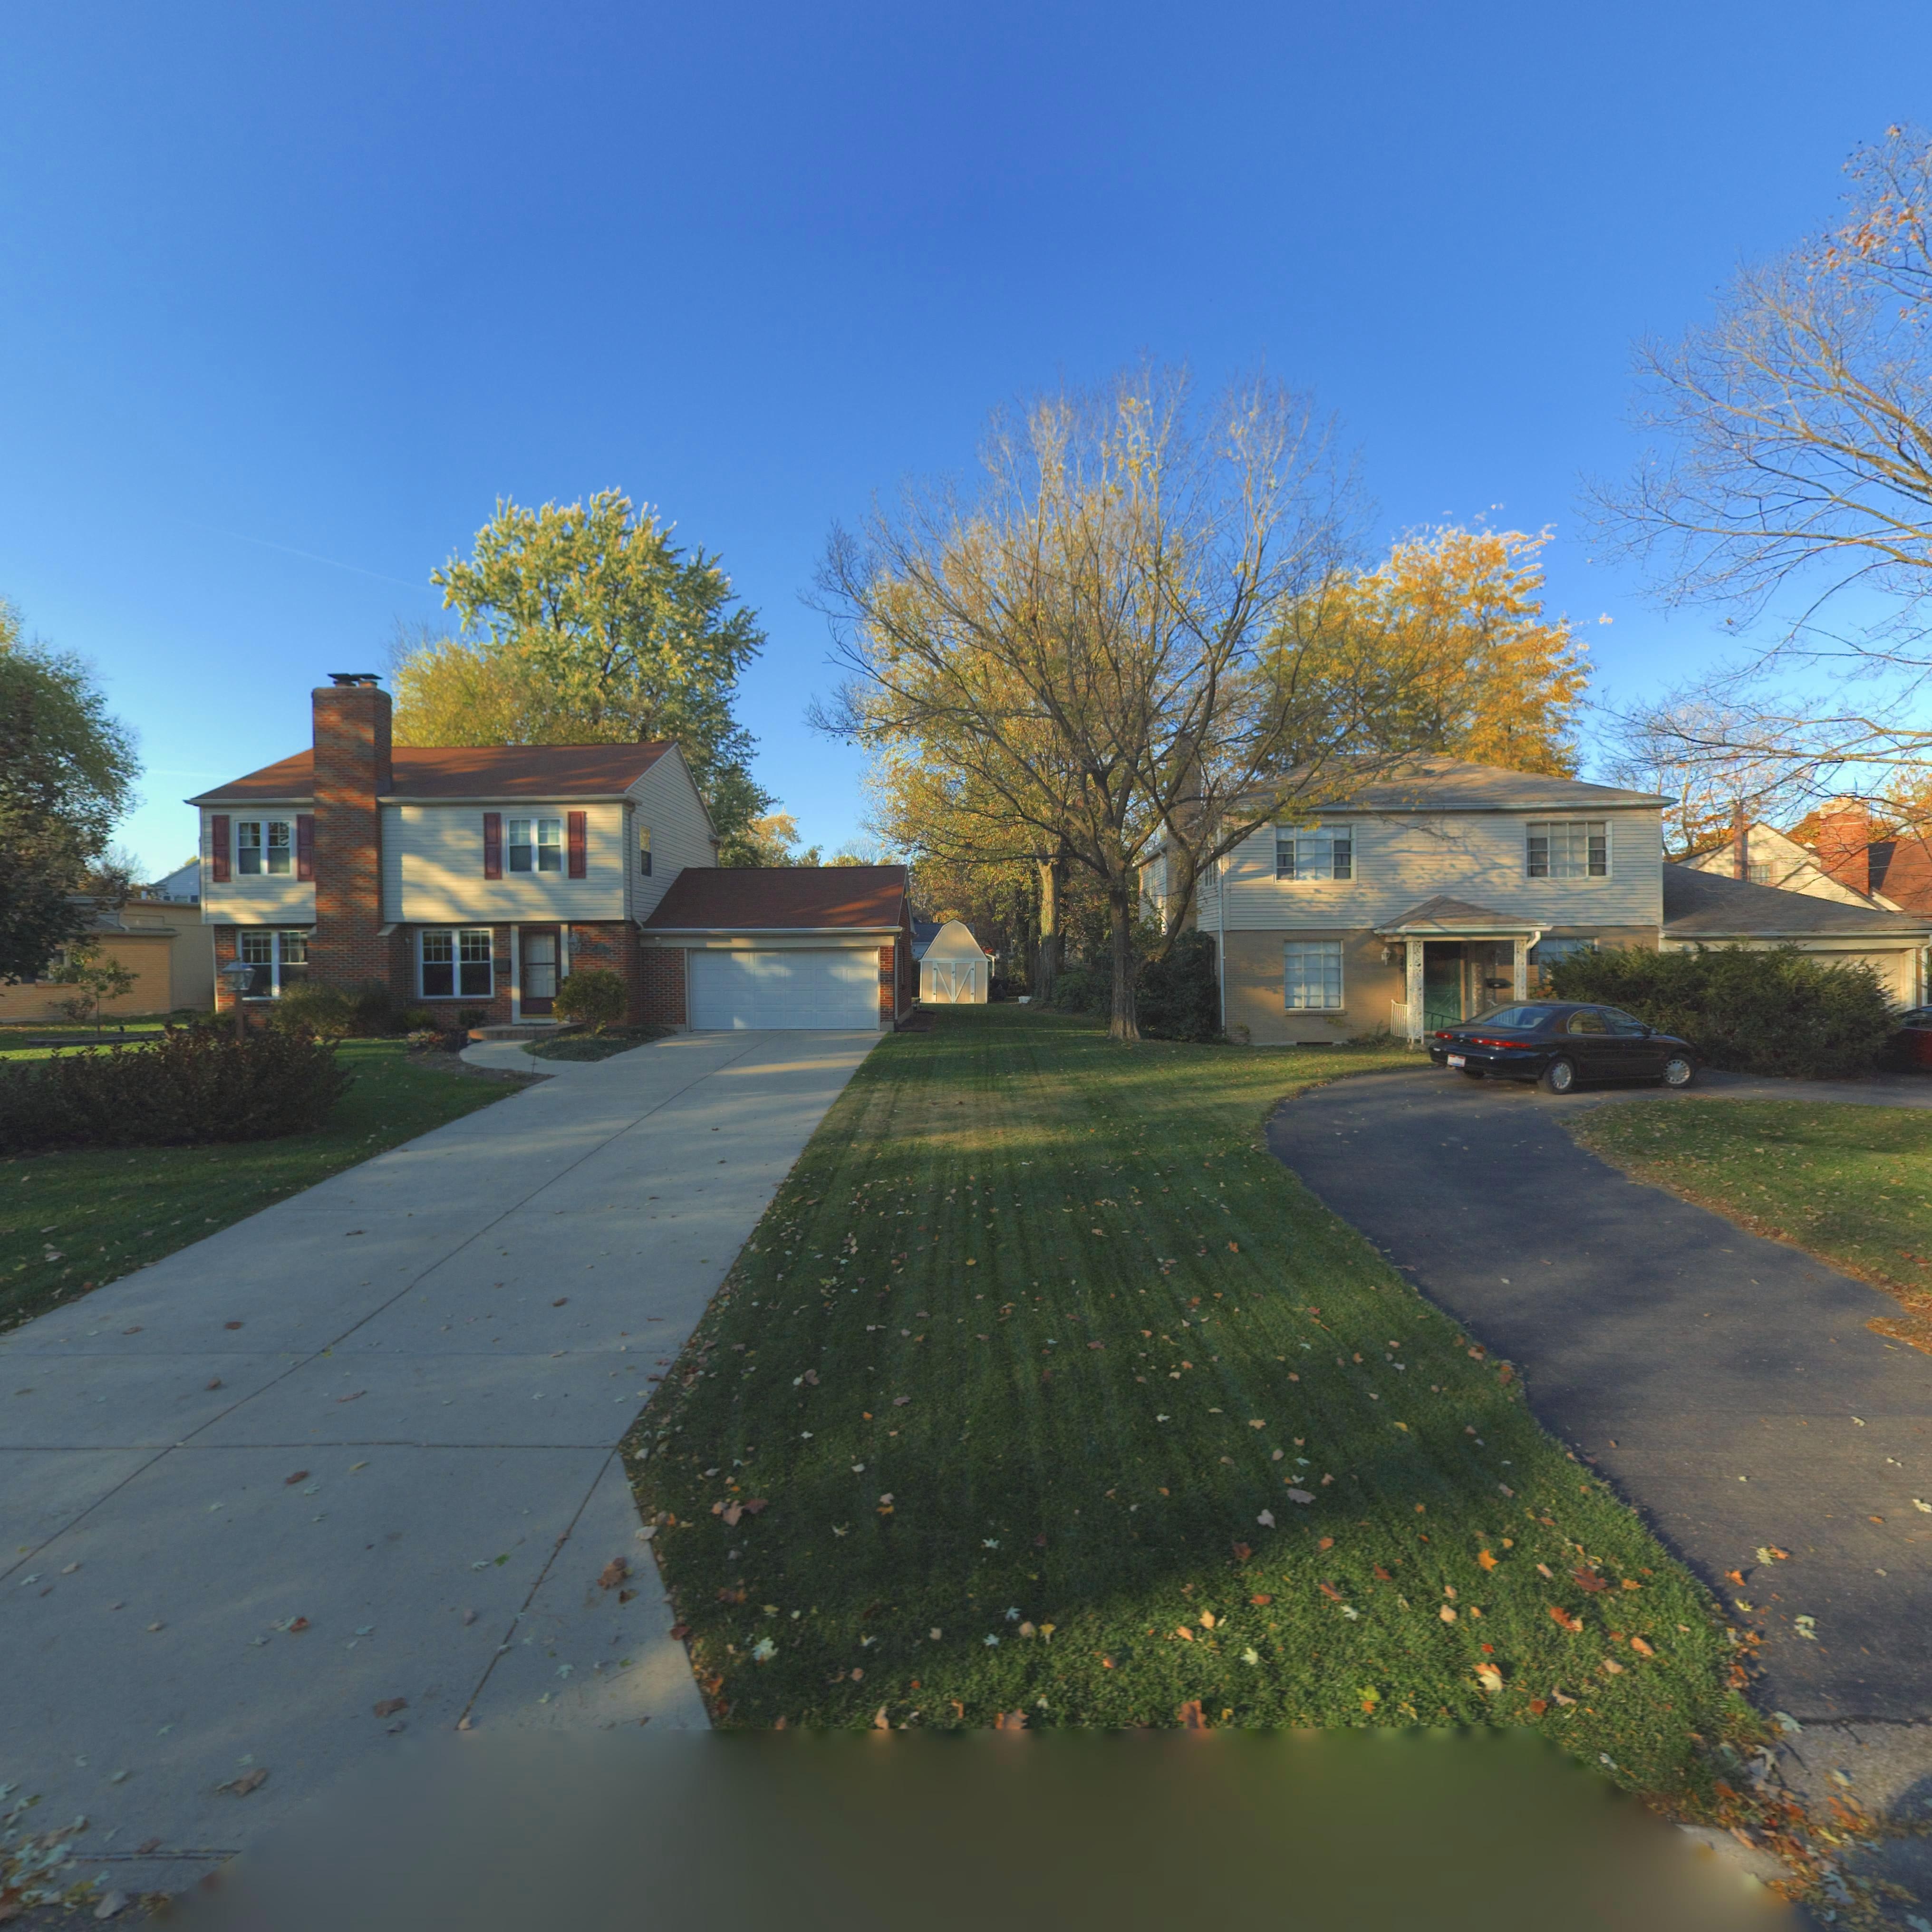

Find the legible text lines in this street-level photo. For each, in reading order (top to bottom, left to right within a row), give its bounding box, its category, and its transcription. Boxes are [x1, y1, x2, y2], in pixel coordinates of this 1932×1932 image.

[1399, 954, 1405, 974] StreetNumber: 249